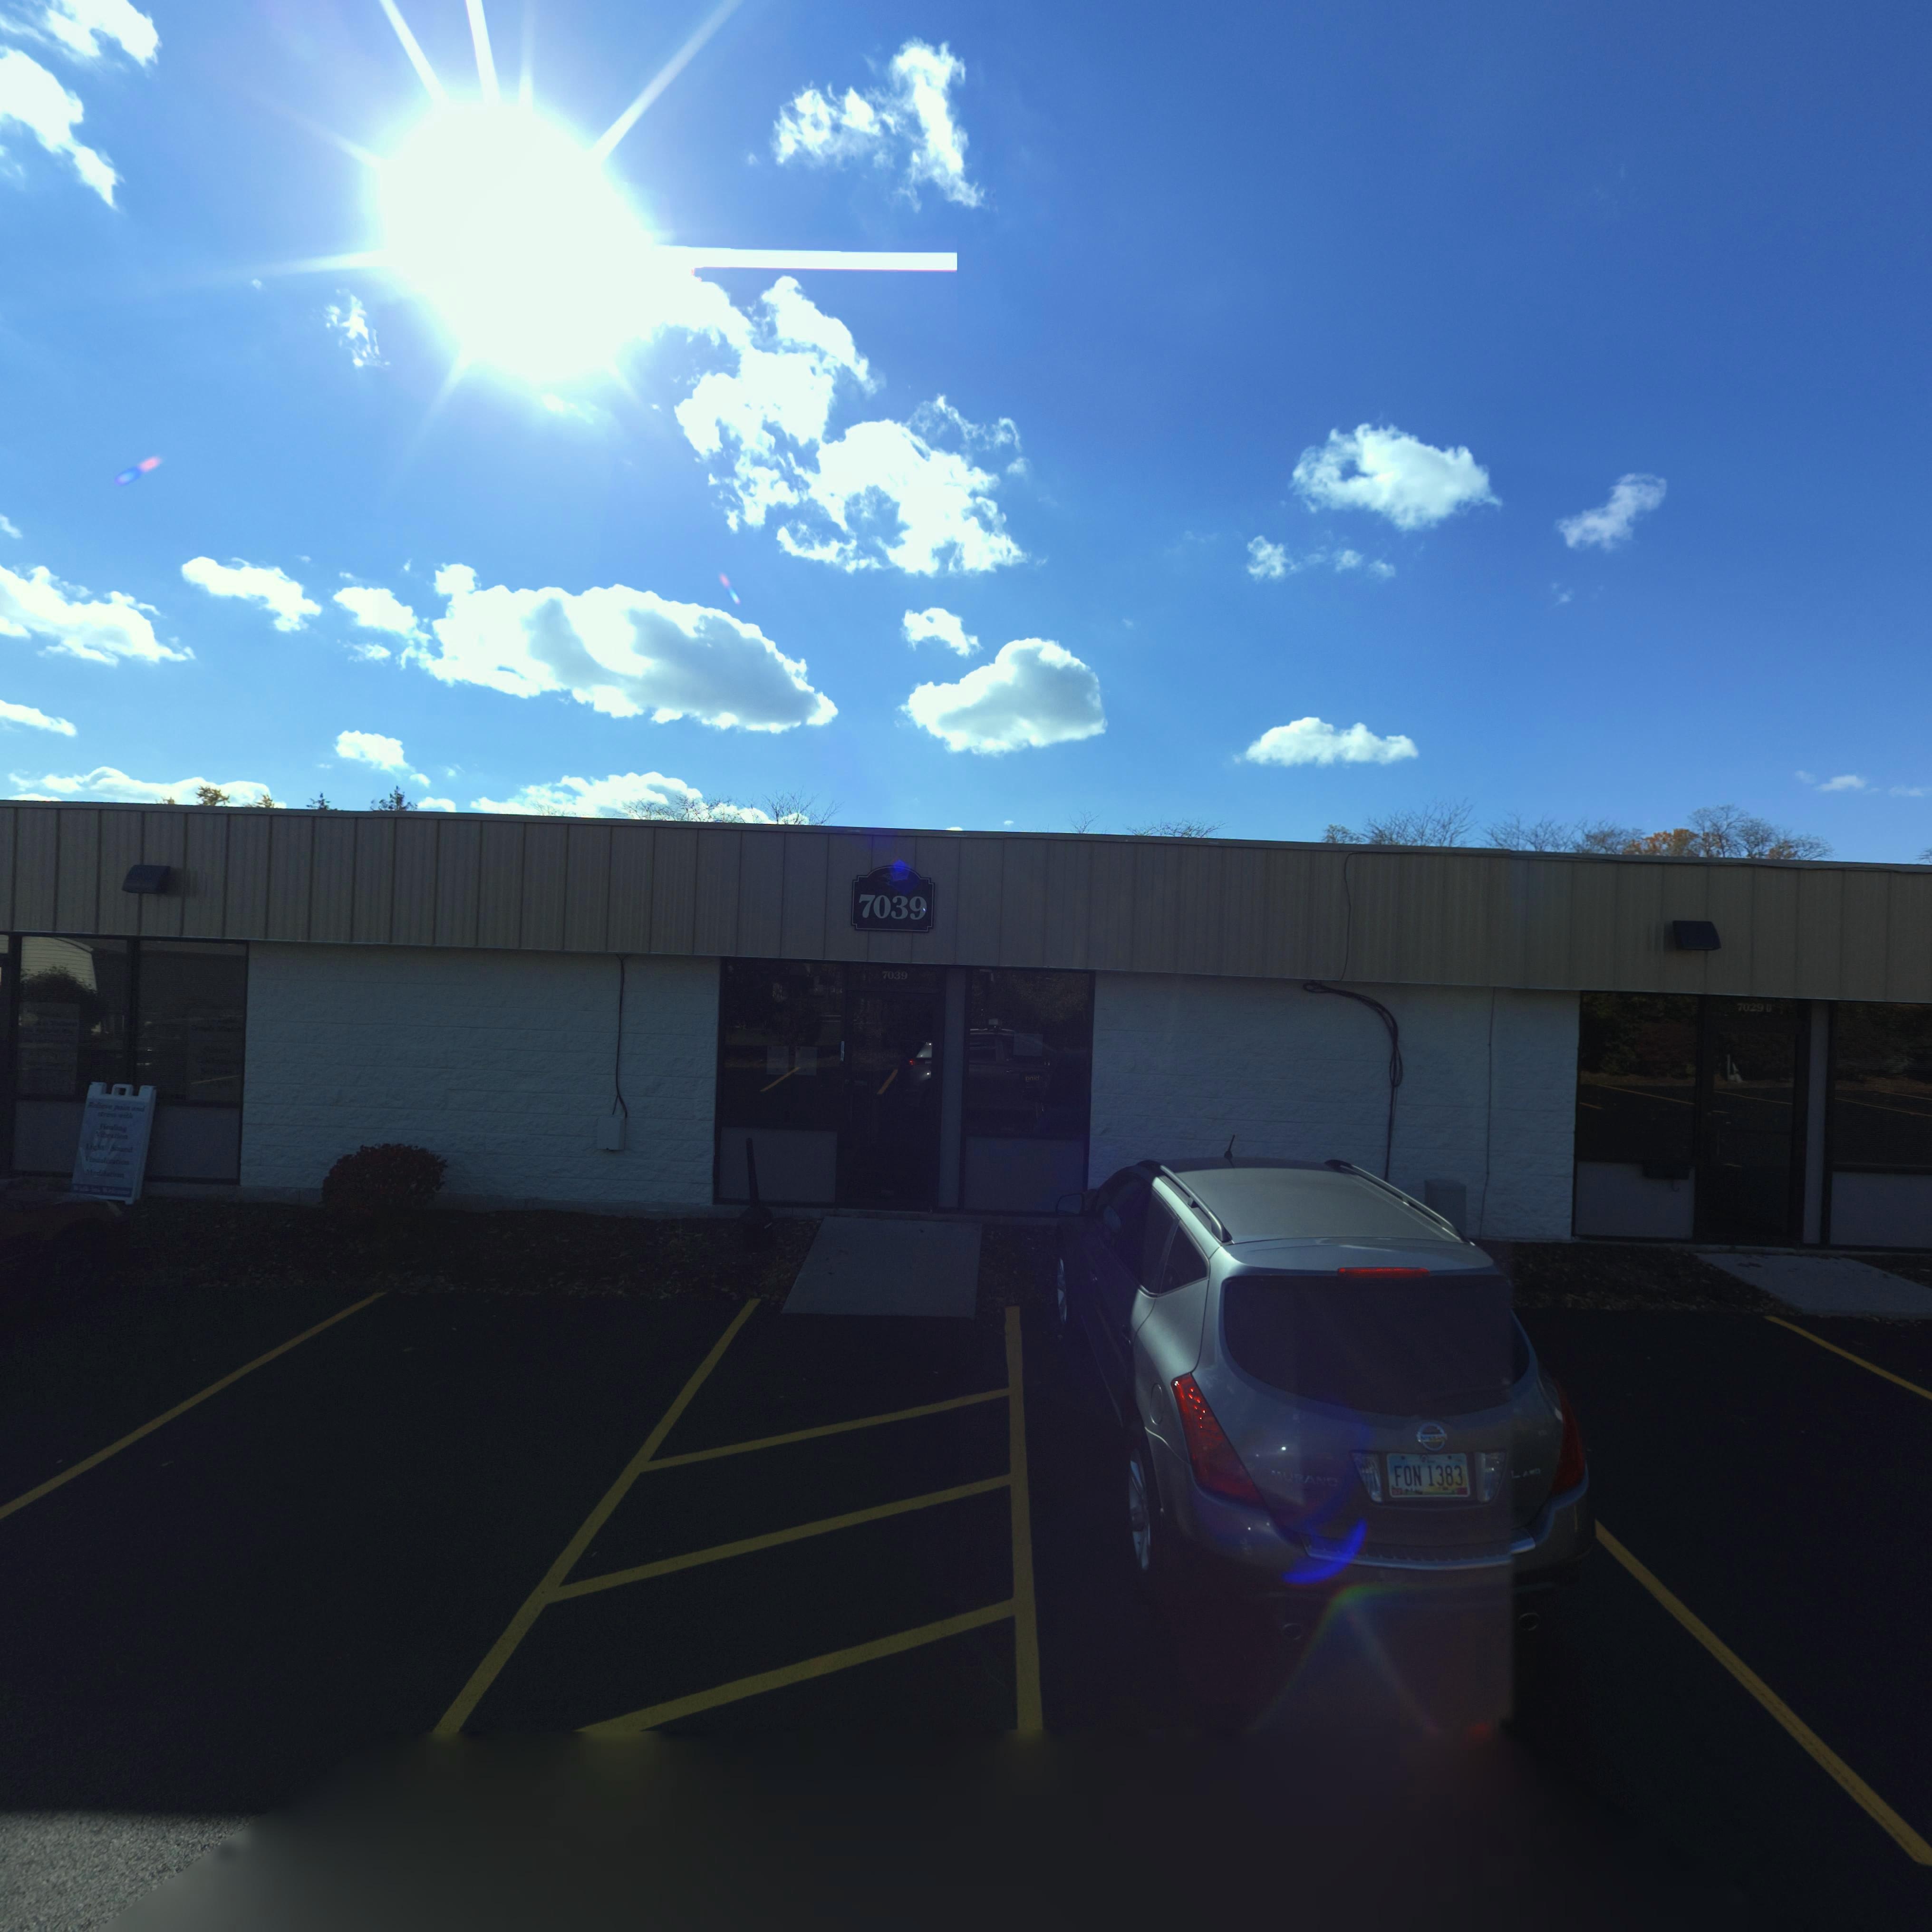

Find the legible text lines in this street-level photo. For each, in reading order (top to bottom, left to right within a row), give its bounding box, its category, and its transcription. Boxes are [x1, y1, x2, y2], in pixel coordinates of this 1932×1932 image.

[857, 893, 929, 921] StreetNumber: 7039
[880, 970, 909, 981] StreetNumber: 7039
[1735, 1002, 1773, 1014] StreetNumber: 7029 D